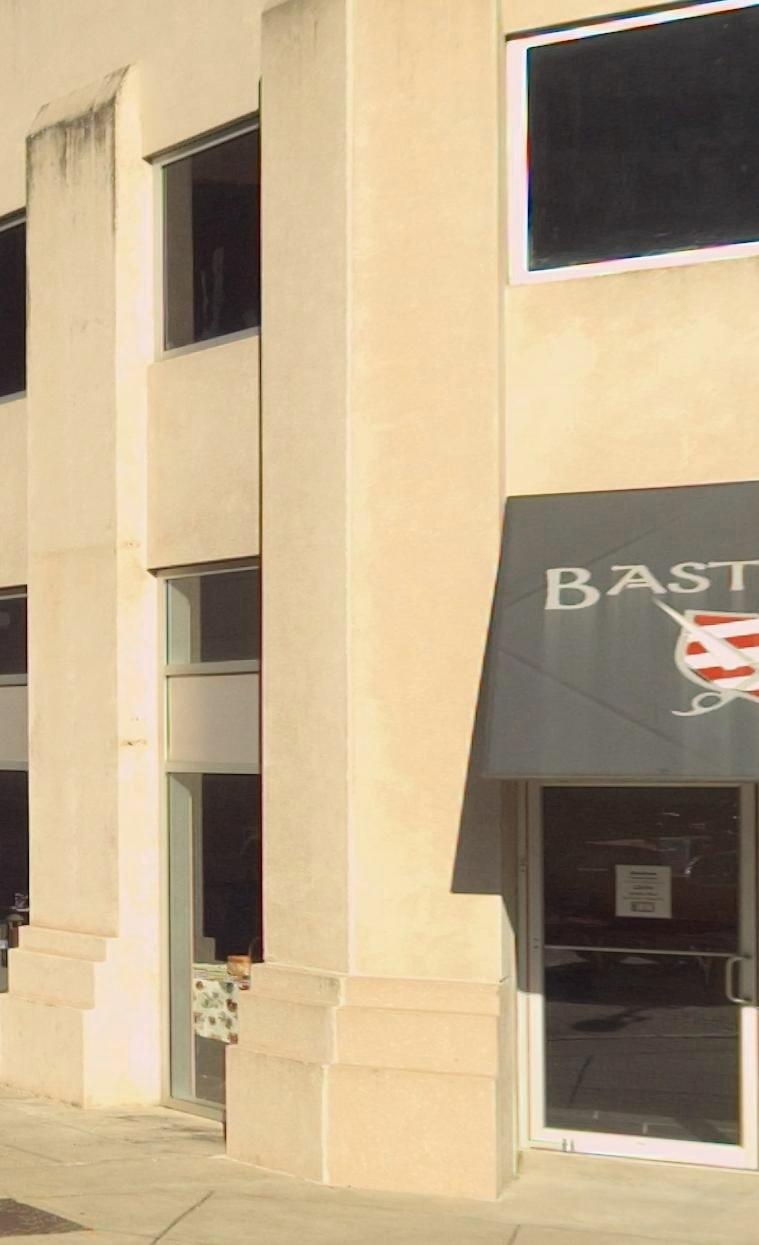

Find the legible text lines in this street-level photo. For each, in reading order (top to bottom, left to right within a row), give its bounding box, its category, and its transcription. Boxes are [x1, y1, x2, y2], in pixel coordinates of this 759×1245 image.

[541, 556, 759, 612] BusinessName: BAST